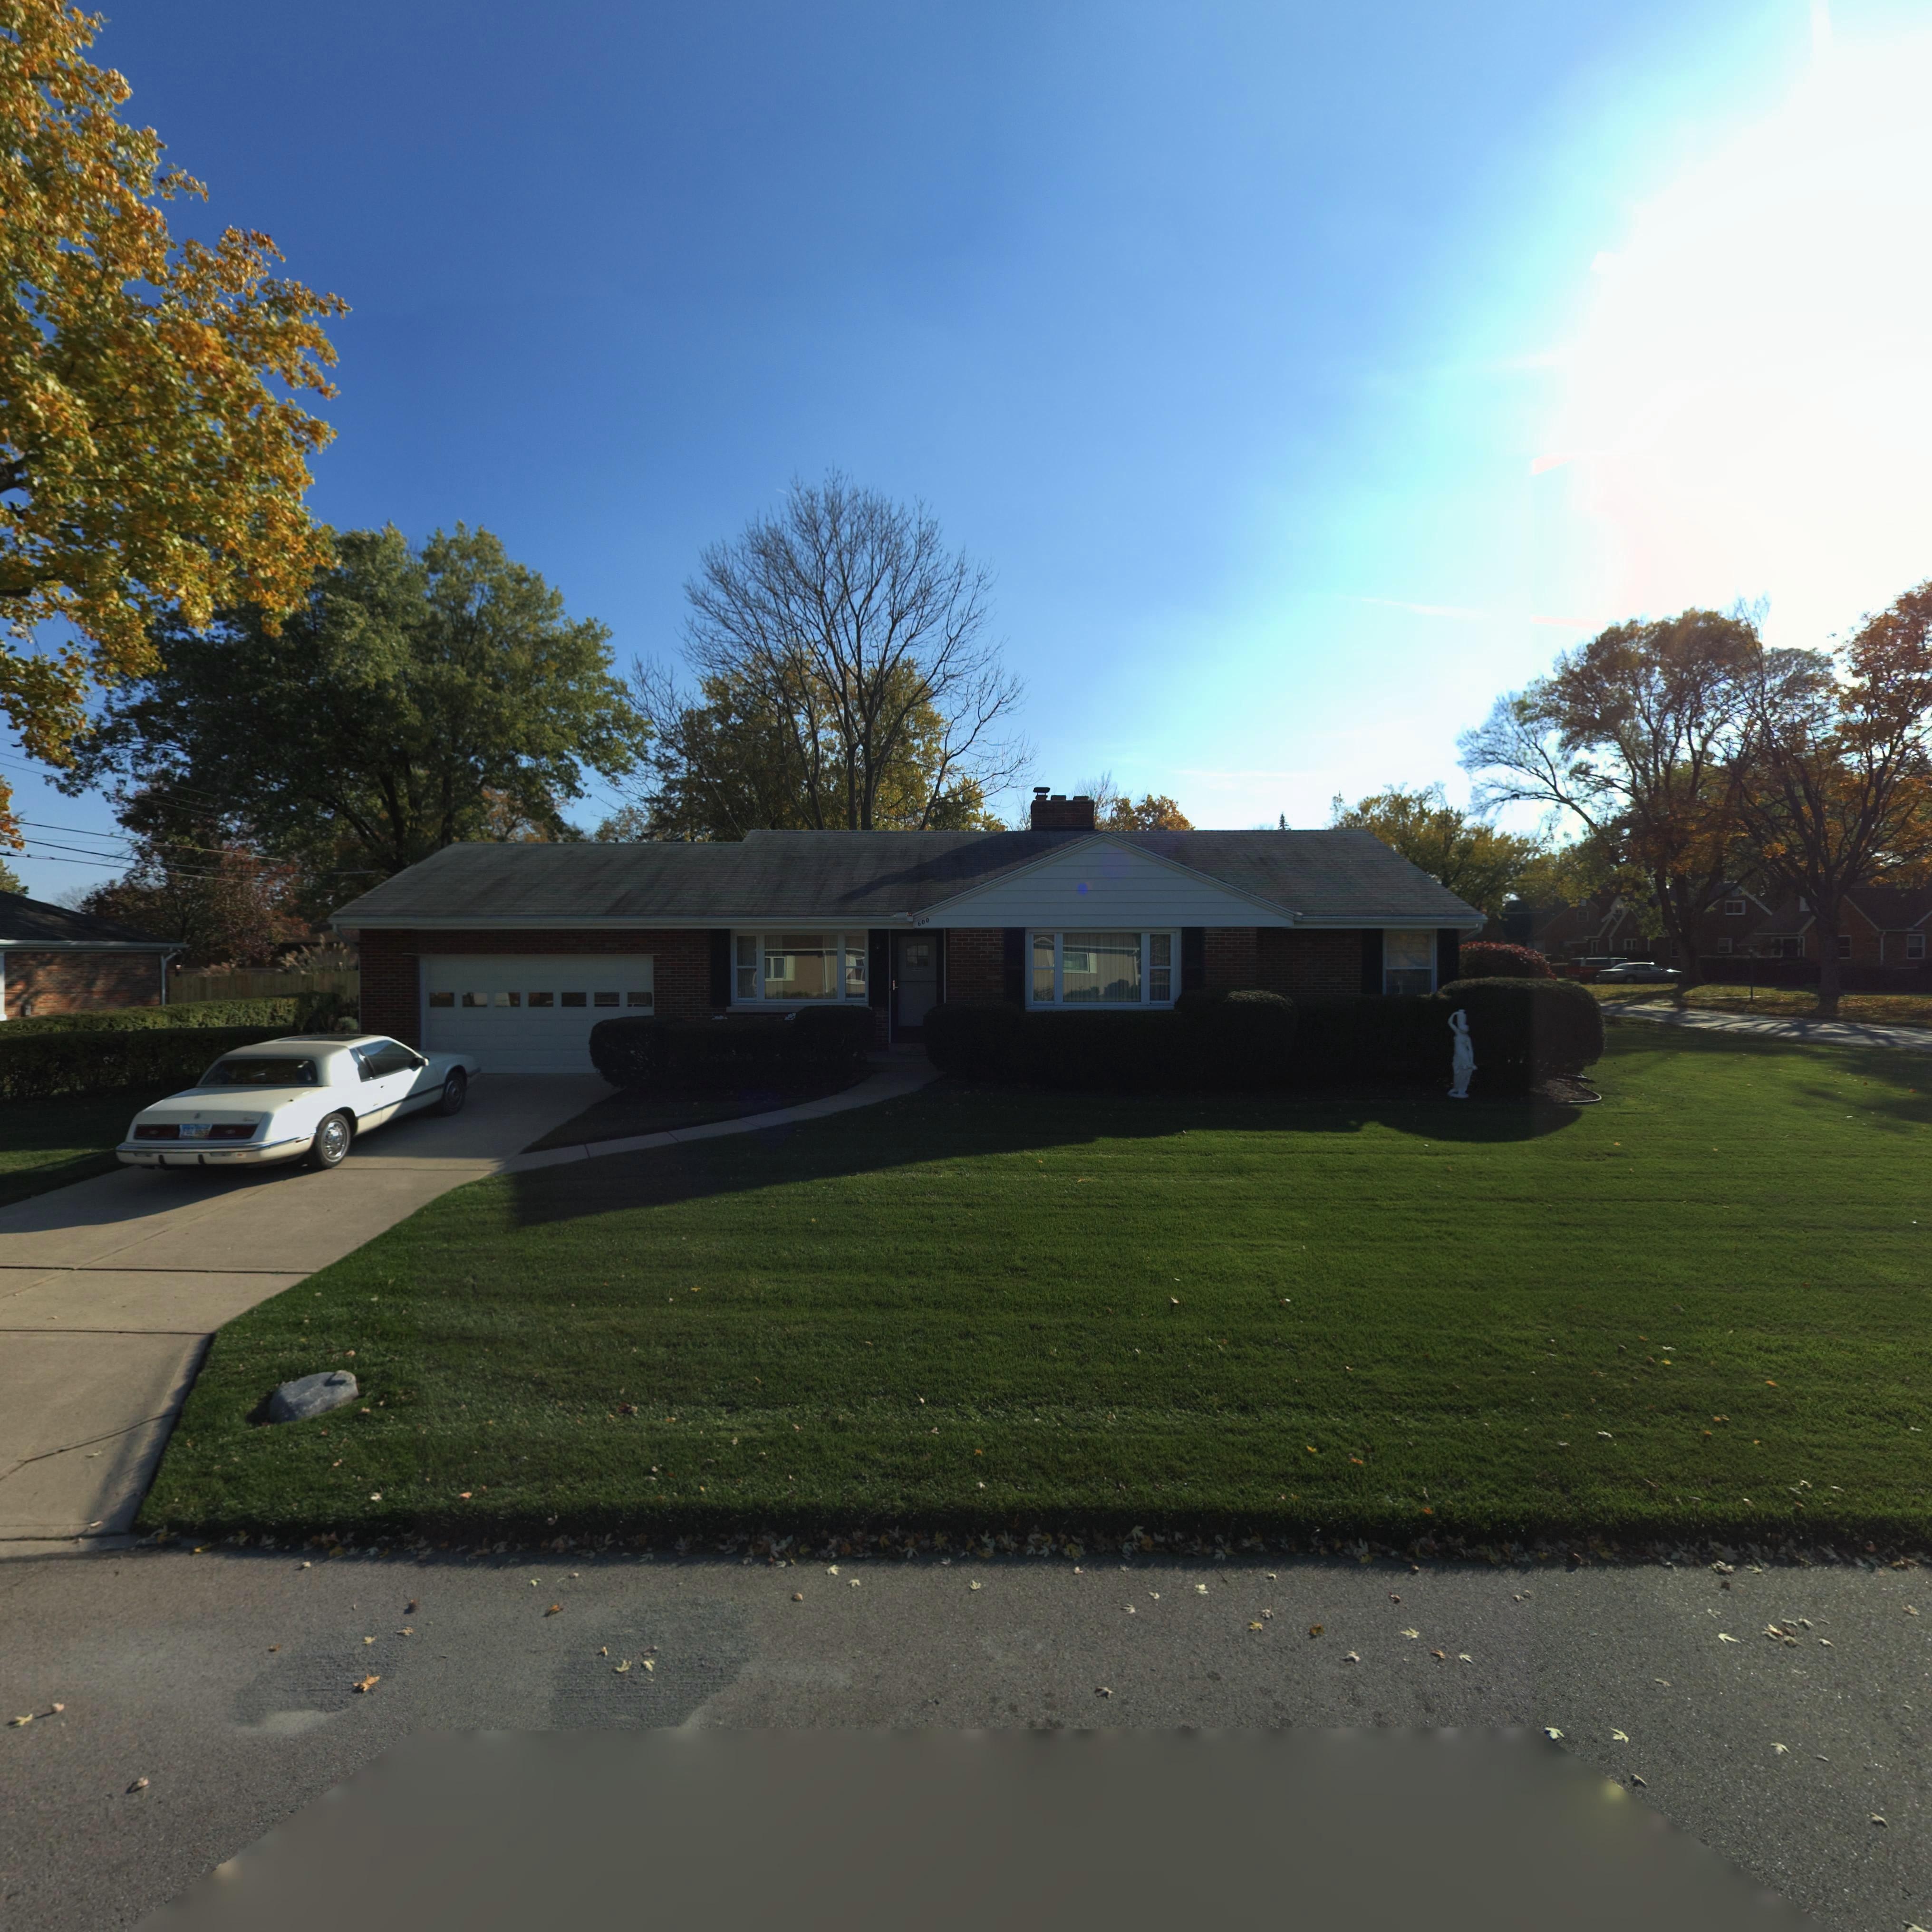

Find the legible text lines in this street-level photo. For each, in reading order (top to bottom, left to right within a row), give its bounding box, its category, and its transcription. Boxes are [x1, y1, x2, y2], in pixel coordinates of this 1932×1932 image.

[918, 917, 930, 927] StreetNumber: 600